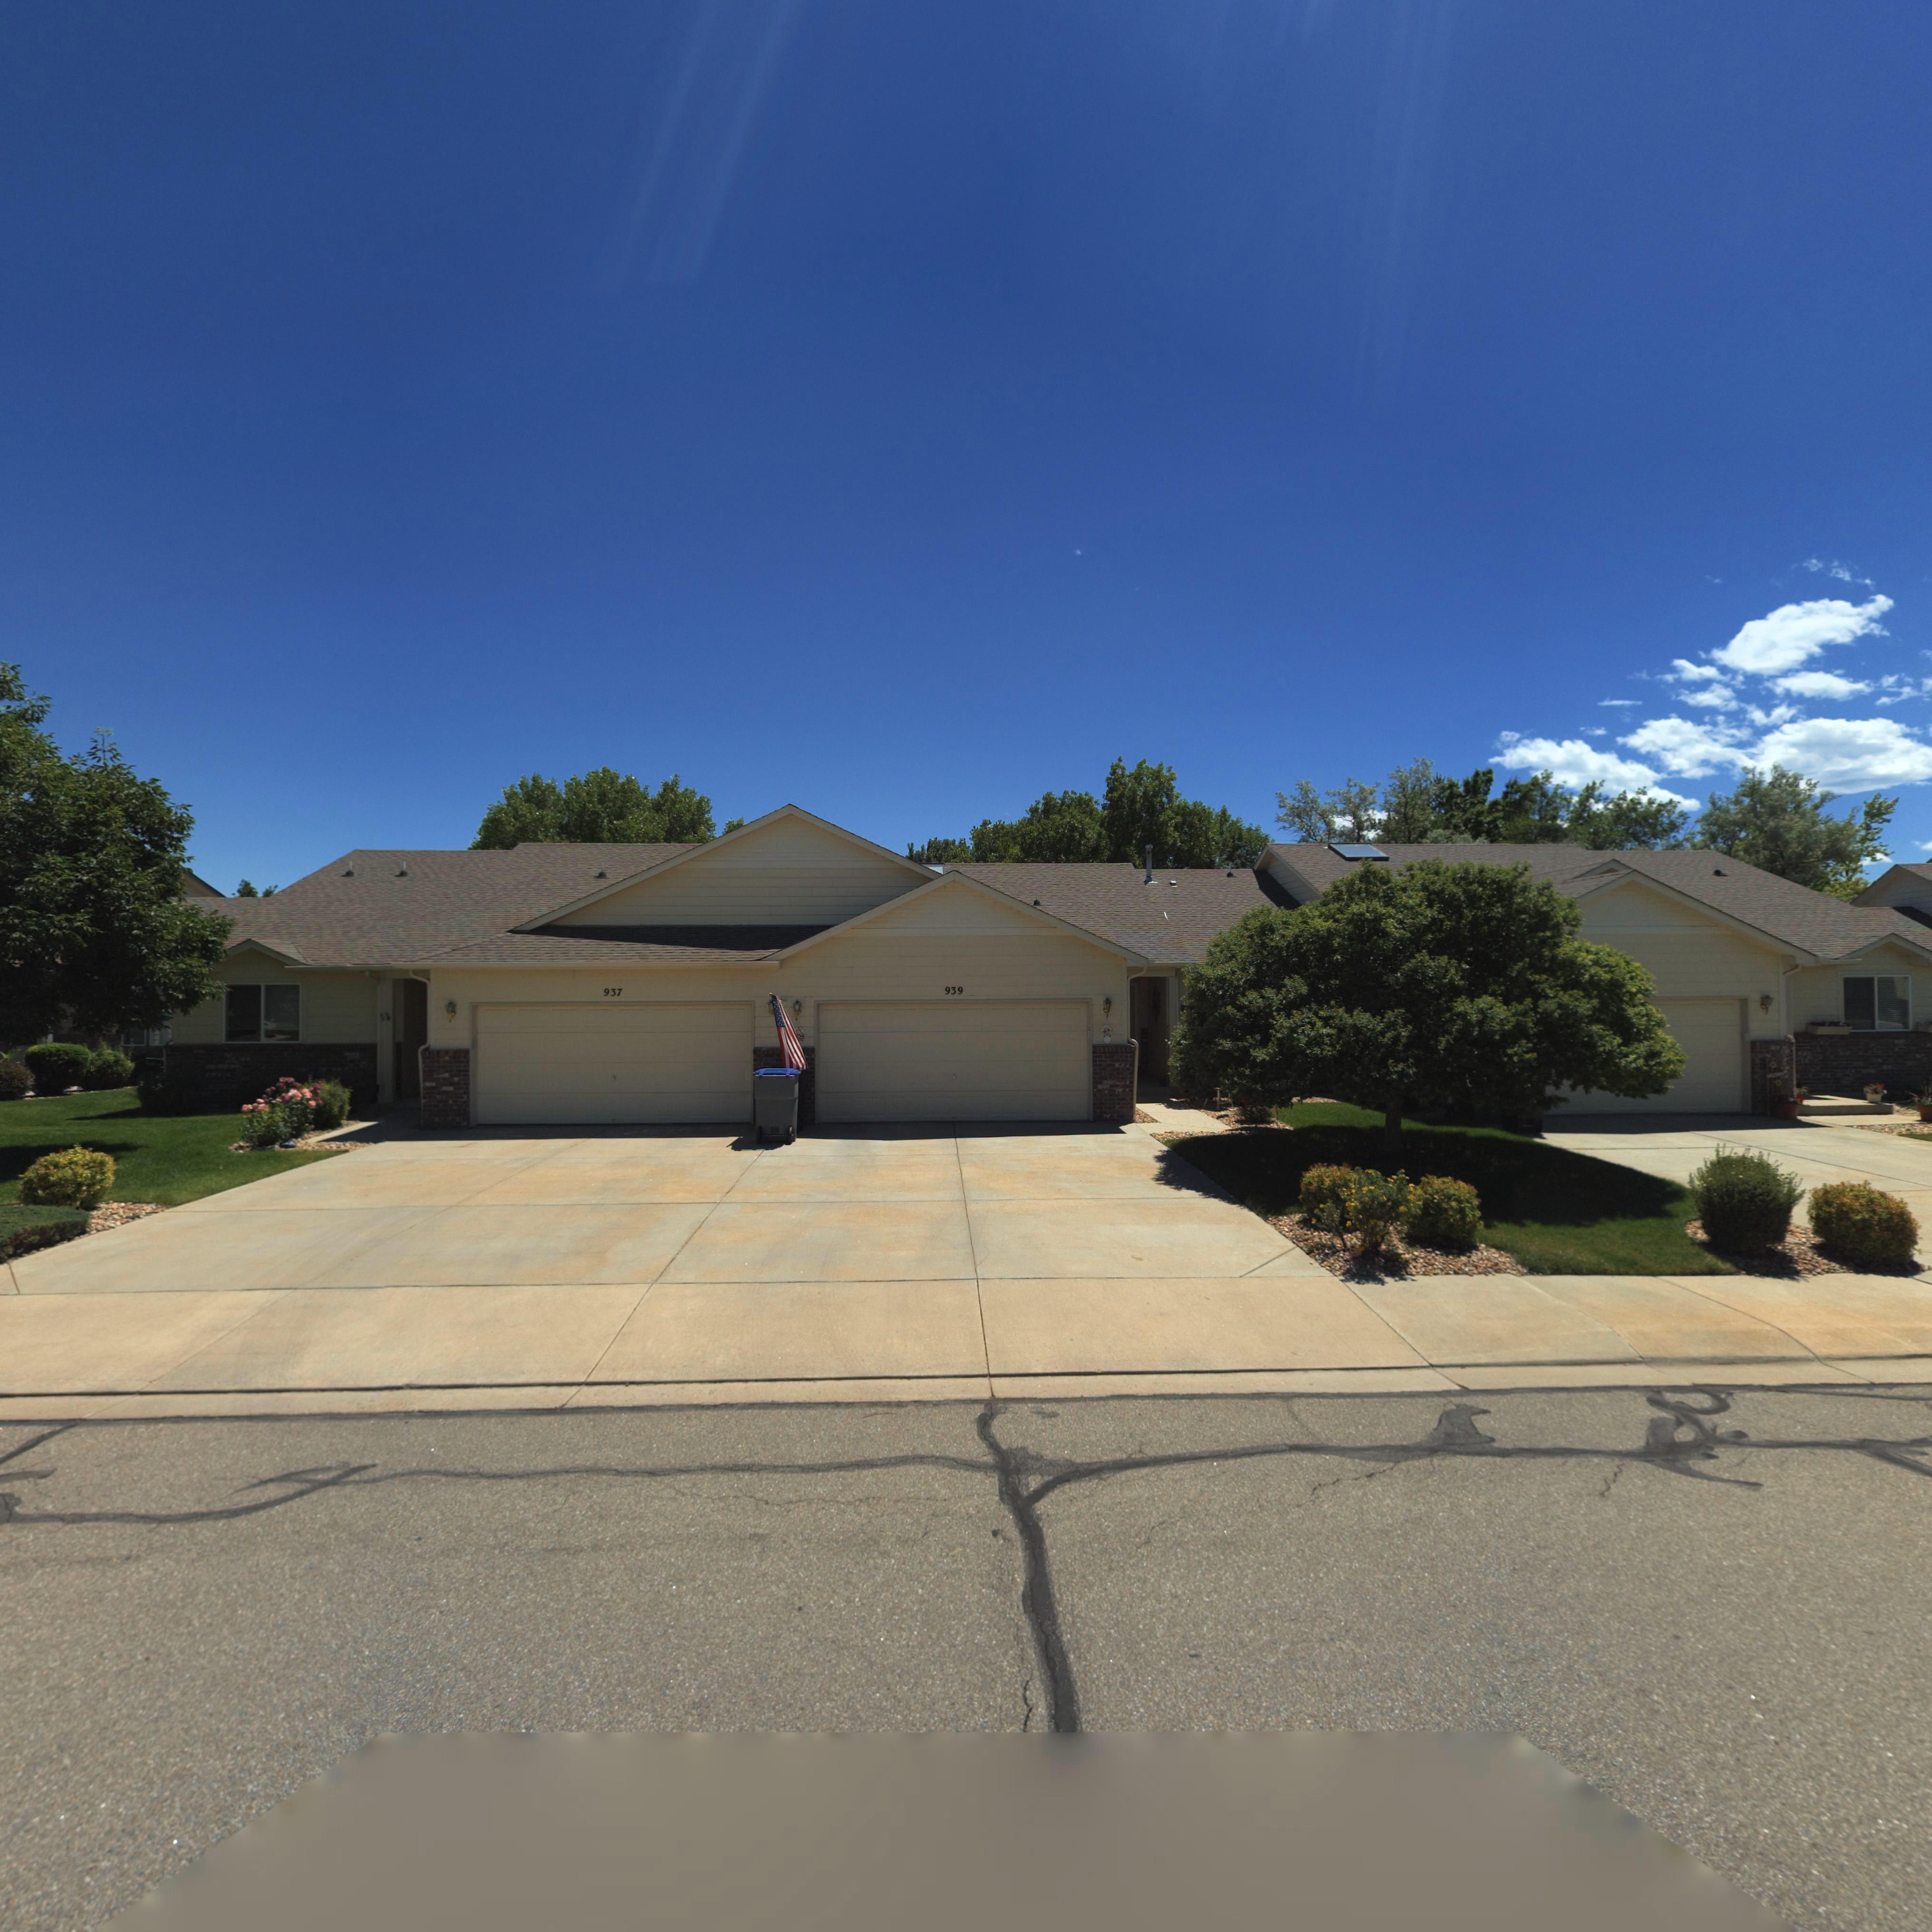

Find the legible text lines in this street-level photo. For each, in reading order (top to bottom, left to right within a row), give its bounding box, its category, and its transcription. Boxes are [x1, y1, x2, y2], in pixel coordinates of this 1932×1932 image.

[603, 987, 623, 996] StreetNumber: 937
[945, 985, 963, 995] StreetNumber: 939